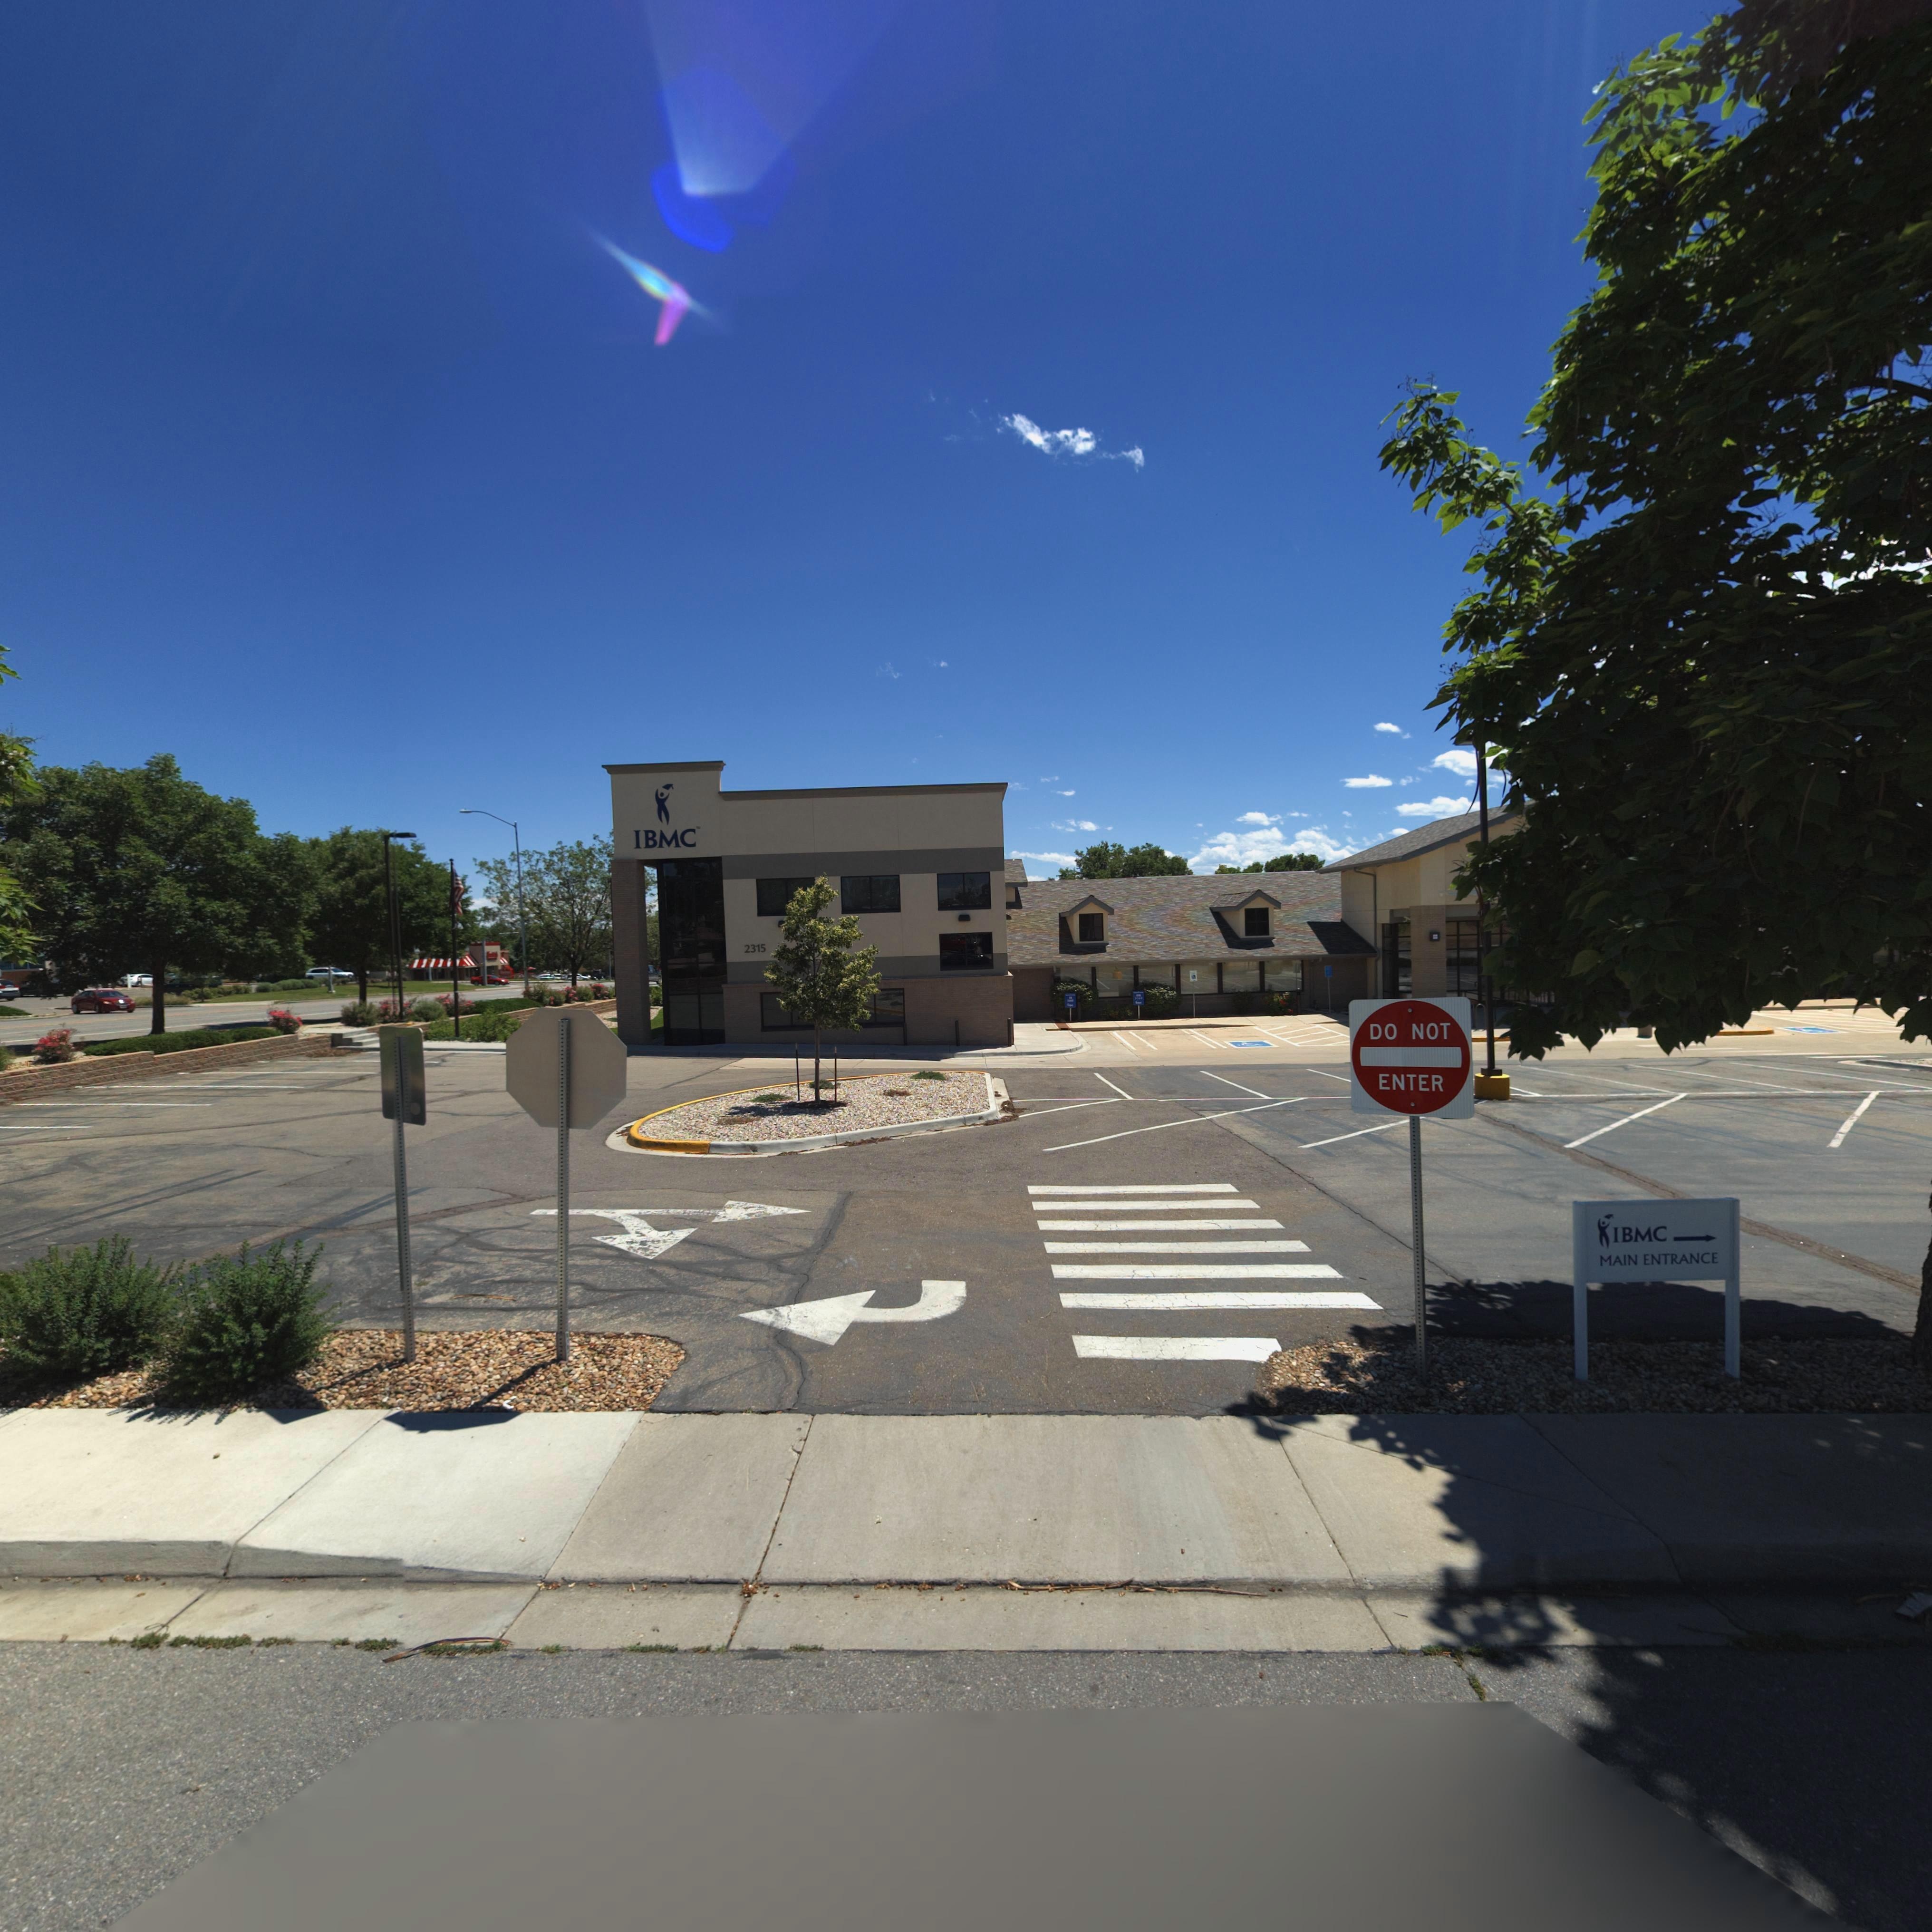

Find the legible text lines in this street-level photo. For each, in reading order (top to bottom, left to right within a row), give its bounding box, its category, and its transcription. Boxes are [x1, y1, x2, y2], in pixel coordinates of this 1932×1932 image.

[632, 828, 697, 849] BusinessName: IBMC
[744, 944, 766, 953] StreetNumber: 2315
[1612, 1225, 1667, 1243] BusinessName: IBMC